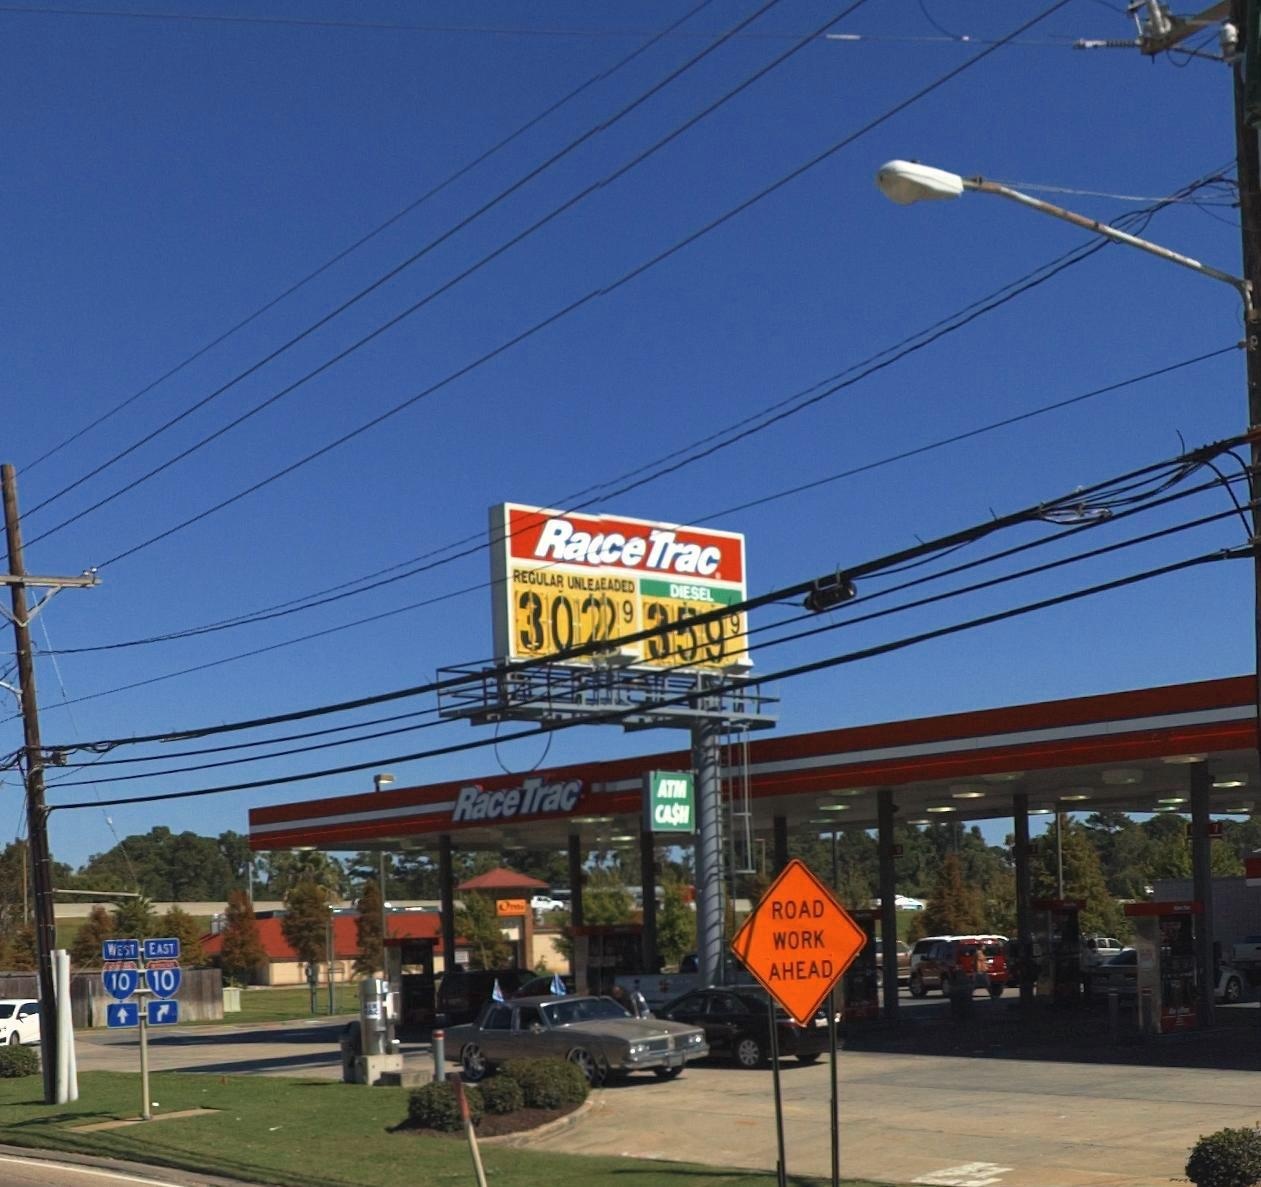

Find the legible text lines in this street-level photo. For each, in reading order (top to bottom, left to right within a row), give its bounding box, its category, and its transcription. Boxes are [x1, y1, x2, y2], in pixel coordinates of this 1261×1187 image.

[530, 516, 723, 576] BusinessName: Ra*ceTrac
[512, 567, 564, 590] None: REGULAR
[566, 574, 637, 595] None: UNLEAEADED
[668, 582, 716, 603] None: DIESEL
[518, 588, 635, 657] None: 30* 9
[645, 600, 740, 666] None: **9 9
[449, 776, 584, 823] BusinessName: RaceTrac
[654, 778, 689, 800] None: ATM
[653, 800, 691, 828] None: CASH
[1208, 820, 1225, 835] None: 7
[495, 899, 512, 912] None: O
[770, 898, 826, 922] None: ROAD
[106, 942, 136, 958] None: WEST
[148, 941, 177, 957] None: EAST
[771, 928, 826, 952] None: WORK
[110, 971, 131, 992] None: 10
[151, 968, 176, 993] None: 10
[767, 959, 834, 983] None: AHEAD